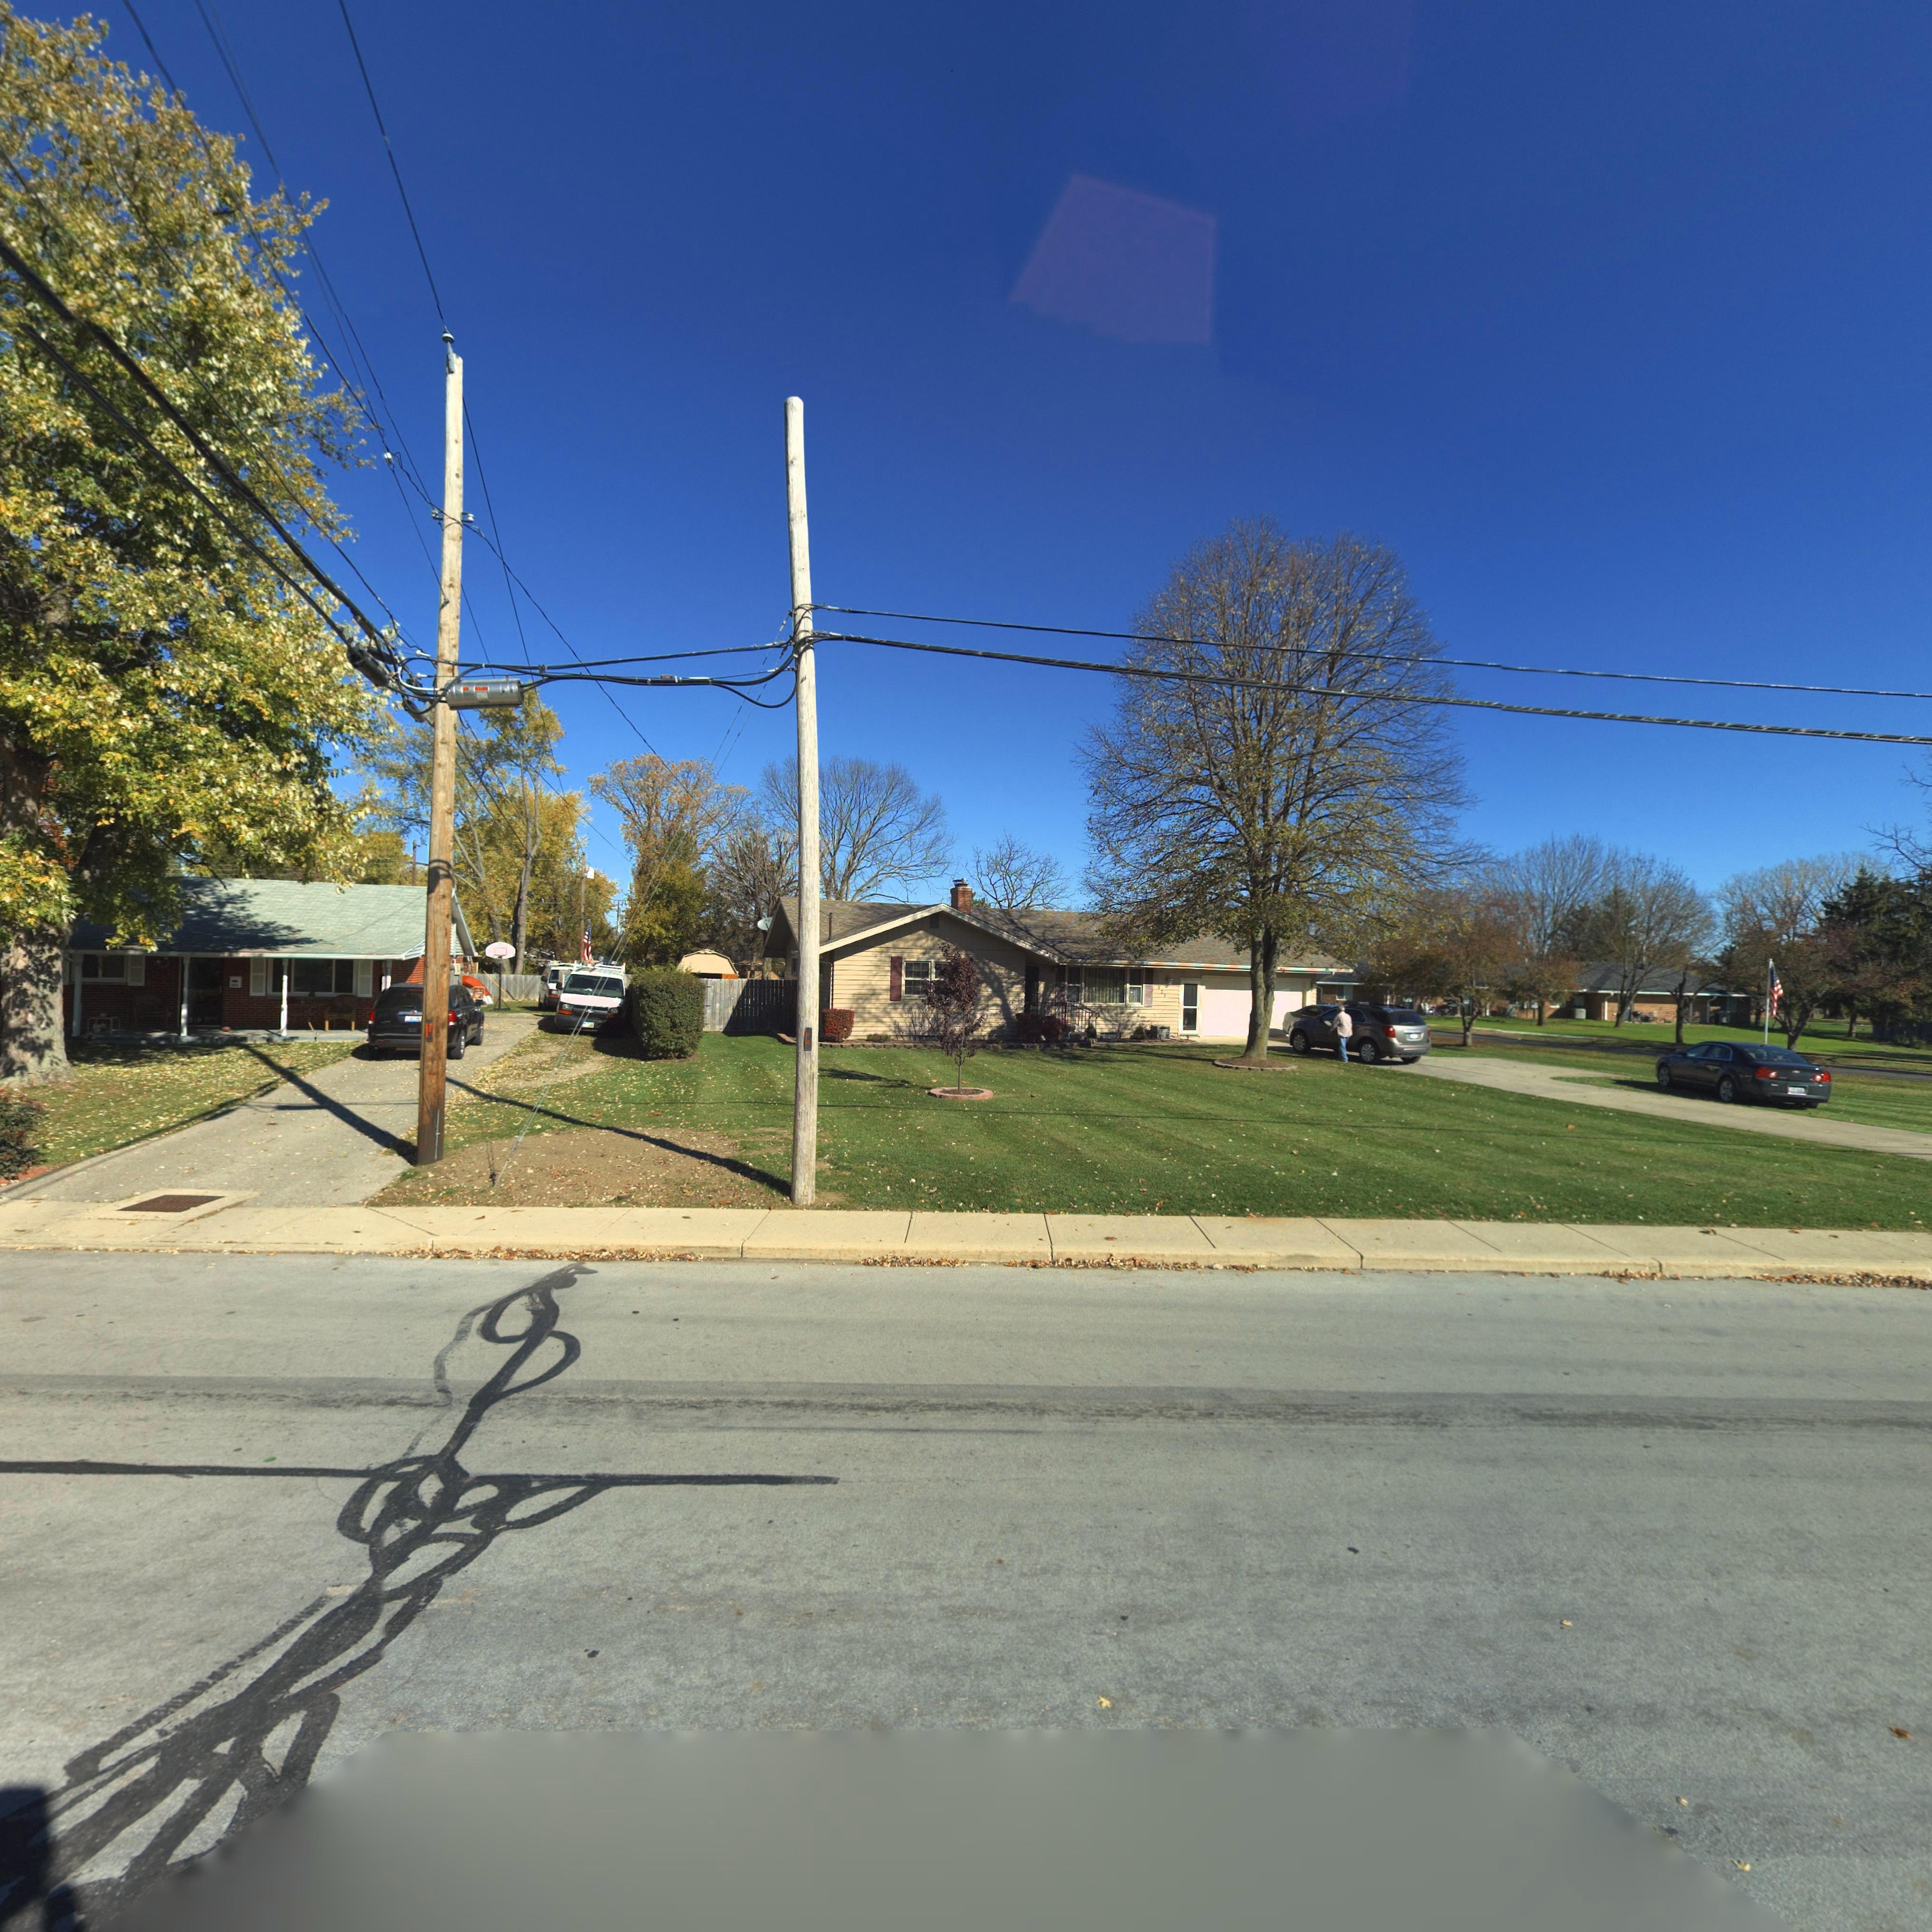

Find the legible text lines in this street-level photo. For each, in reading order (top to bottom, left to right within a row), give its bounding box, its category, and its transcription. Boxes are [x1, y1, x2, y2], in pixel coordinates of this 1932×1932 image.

[235, 984, 238, 987] StreetNumber: 2